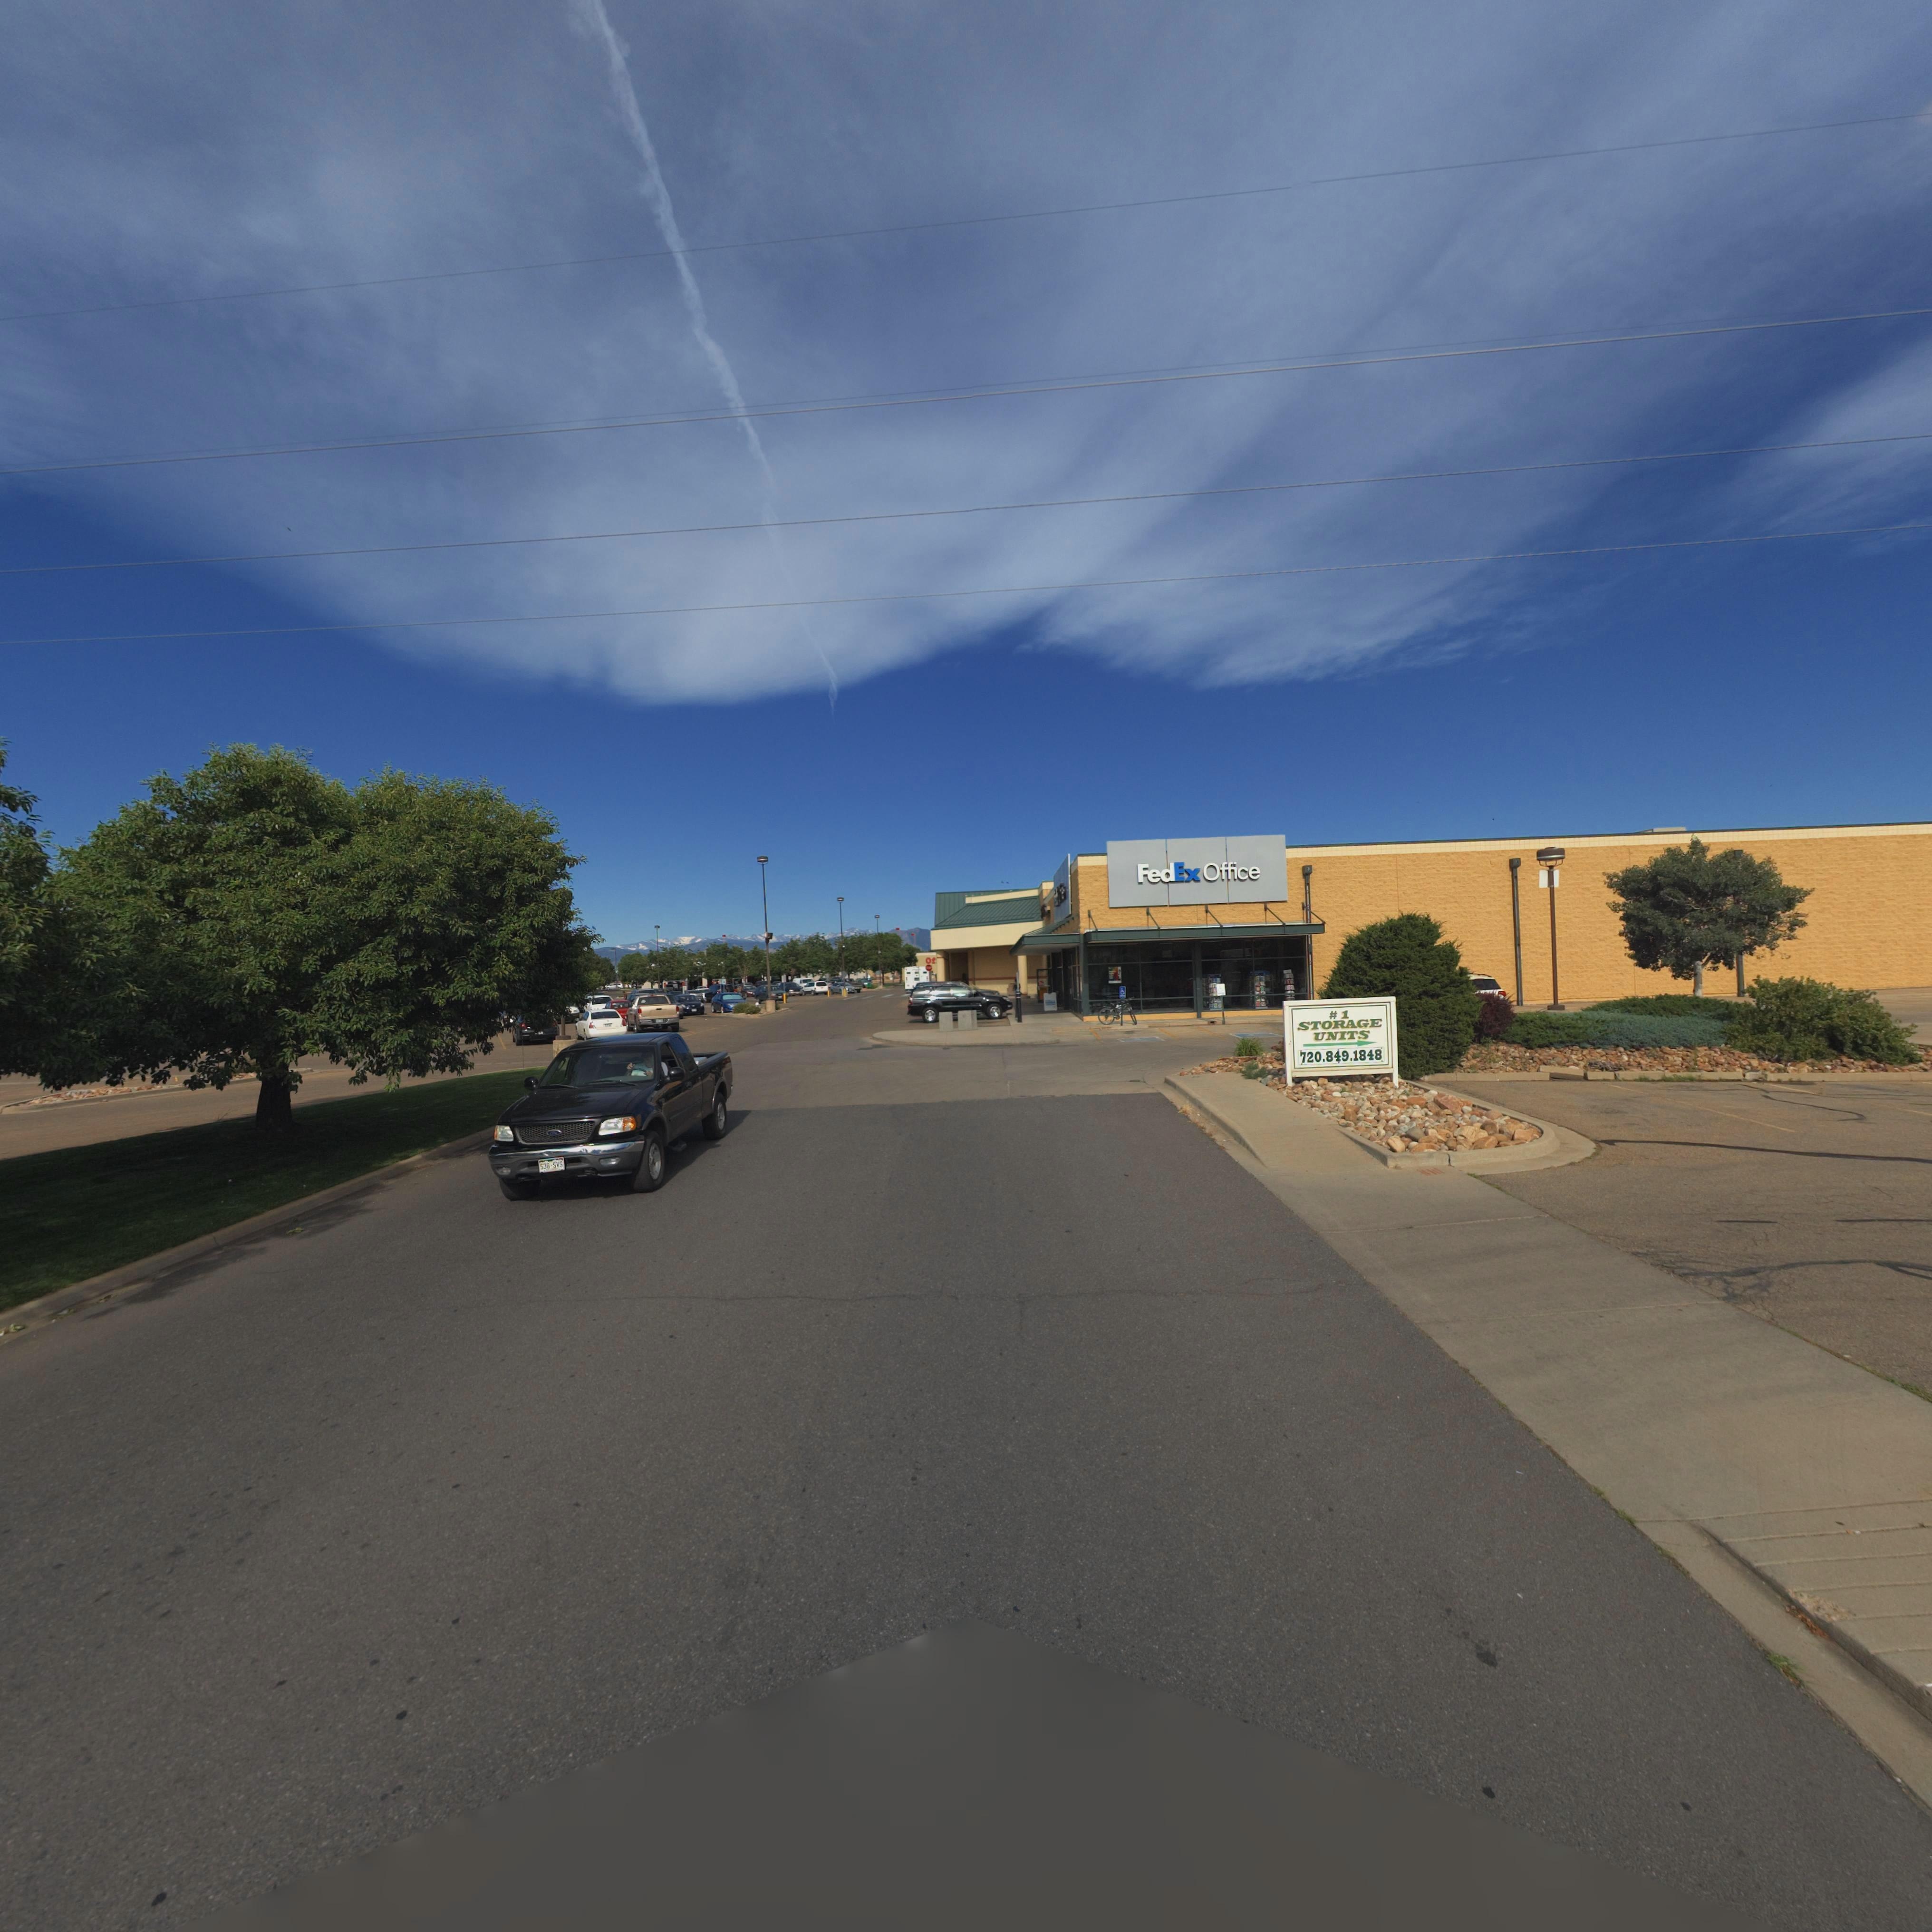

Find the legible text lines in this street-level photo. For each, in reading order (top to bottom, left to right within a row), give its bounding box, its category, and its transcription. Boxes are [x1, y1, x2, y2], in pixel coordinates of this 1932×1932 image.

[1136, 861, 1261, 883] BusinessName: FedEx Office
[925, 956, 936, 964] BusinessName: Of
[1329, 1009, 1349, 1019] BusinessName: *1
[1296, 1018, 1382, 1031] BusinessName: STORAGE
[1313, 1030, 1371, 1041] BusinessName: UNITS